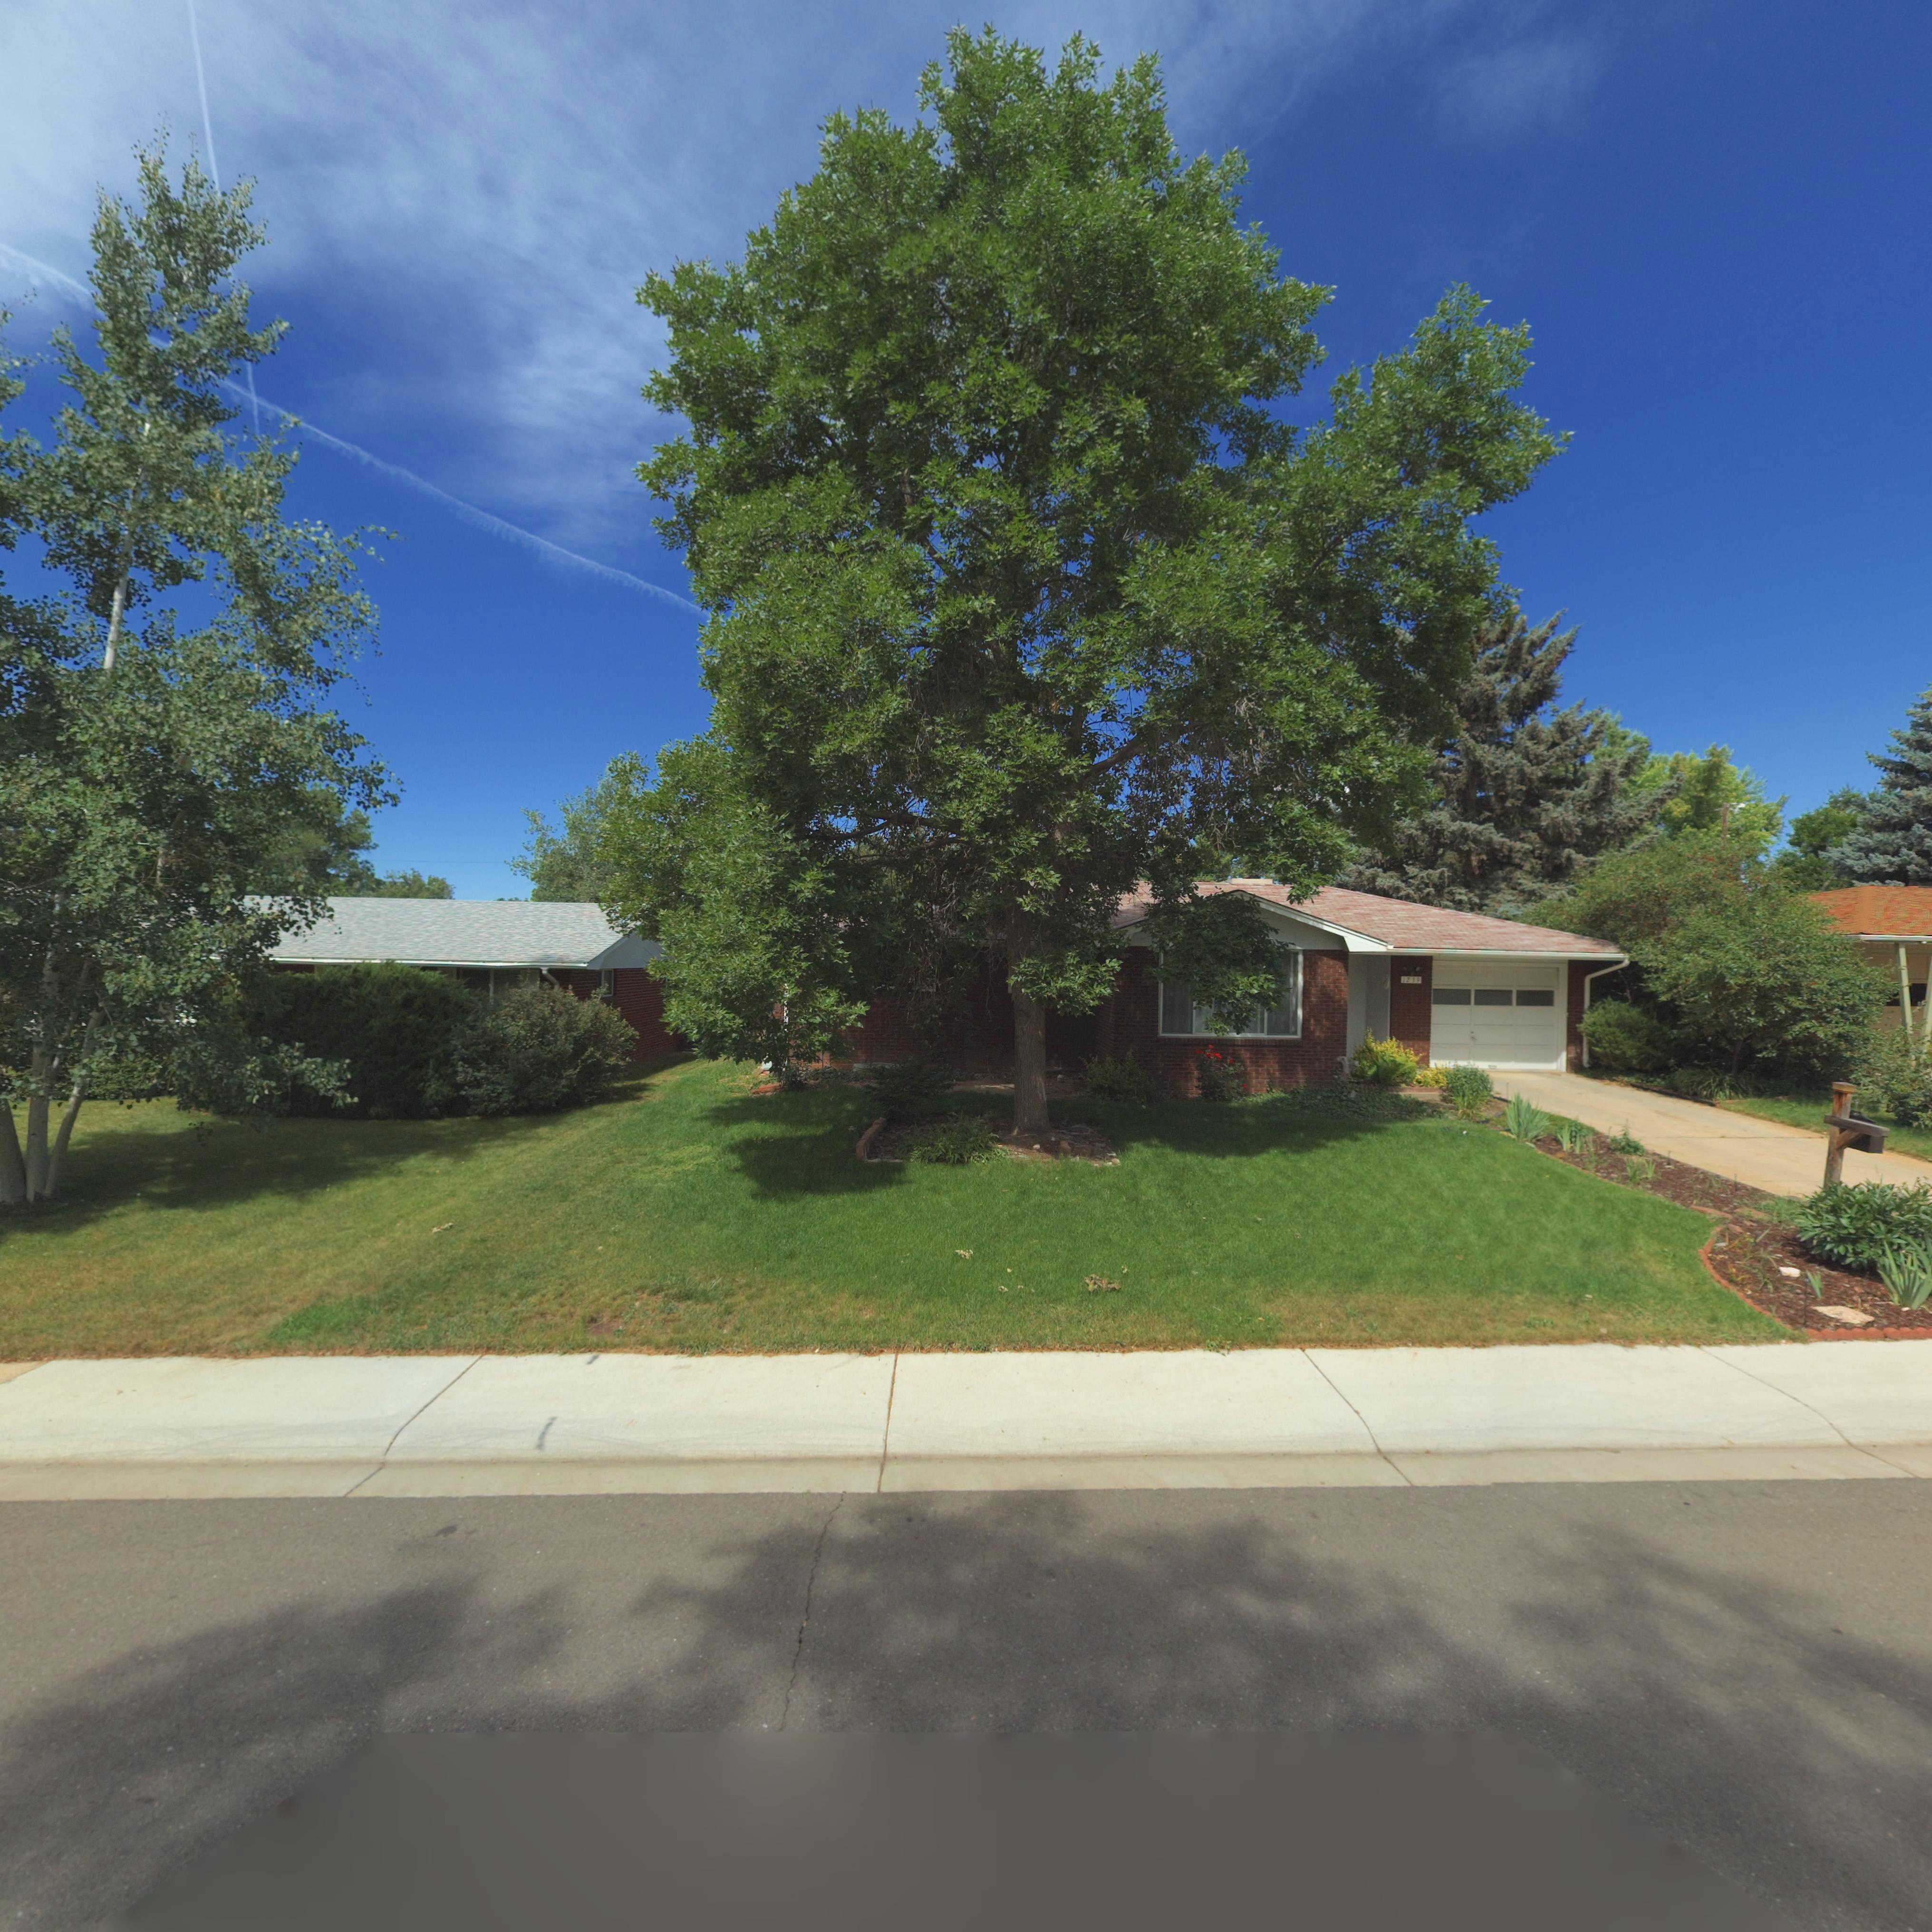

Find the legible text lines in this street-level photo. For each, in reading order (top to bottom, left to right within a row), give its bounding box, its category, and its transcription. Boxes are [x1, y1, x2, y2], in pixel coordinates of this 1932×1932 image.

[1402, 976, 1420, 983] StreetNumber: 12*9